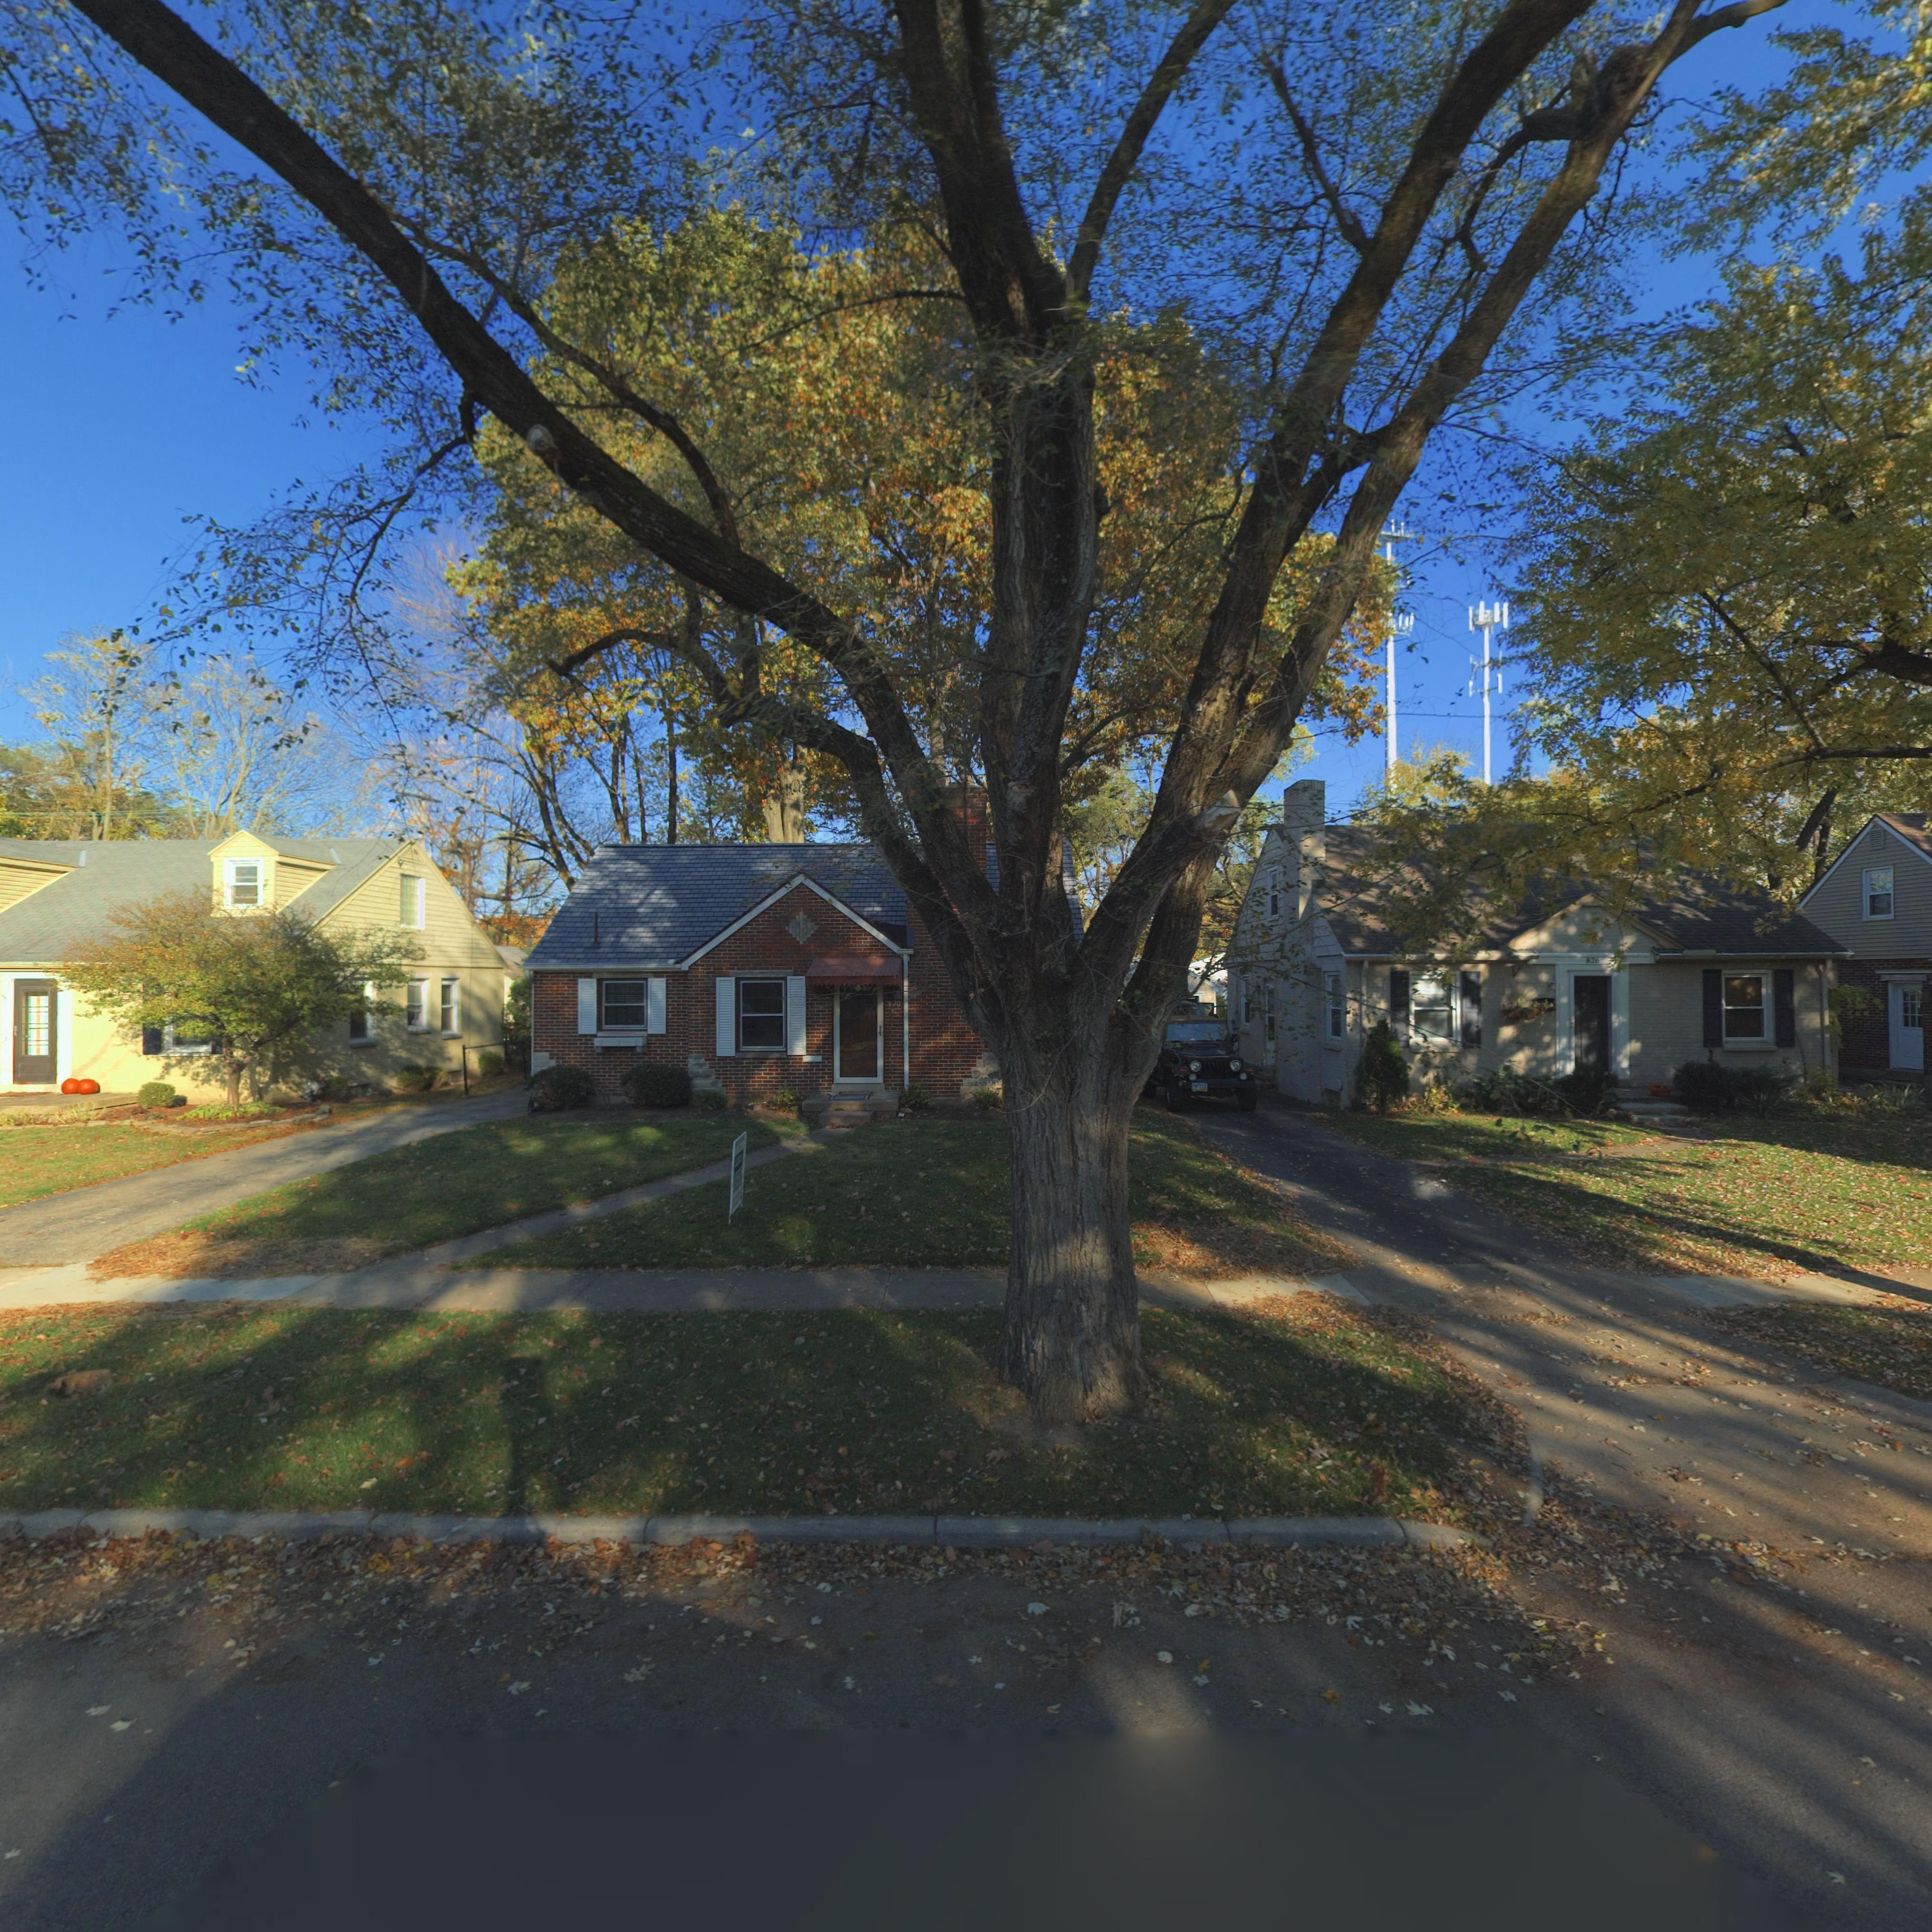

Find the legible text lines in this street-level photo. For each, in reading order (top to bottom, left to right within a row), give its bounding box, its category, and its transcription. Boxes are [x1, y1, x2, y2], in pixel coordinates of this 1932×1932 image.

[1585, 956, 1600, 964] StreetNumber: 826
[888, 999, 900, 1006] StreetNumber: 820